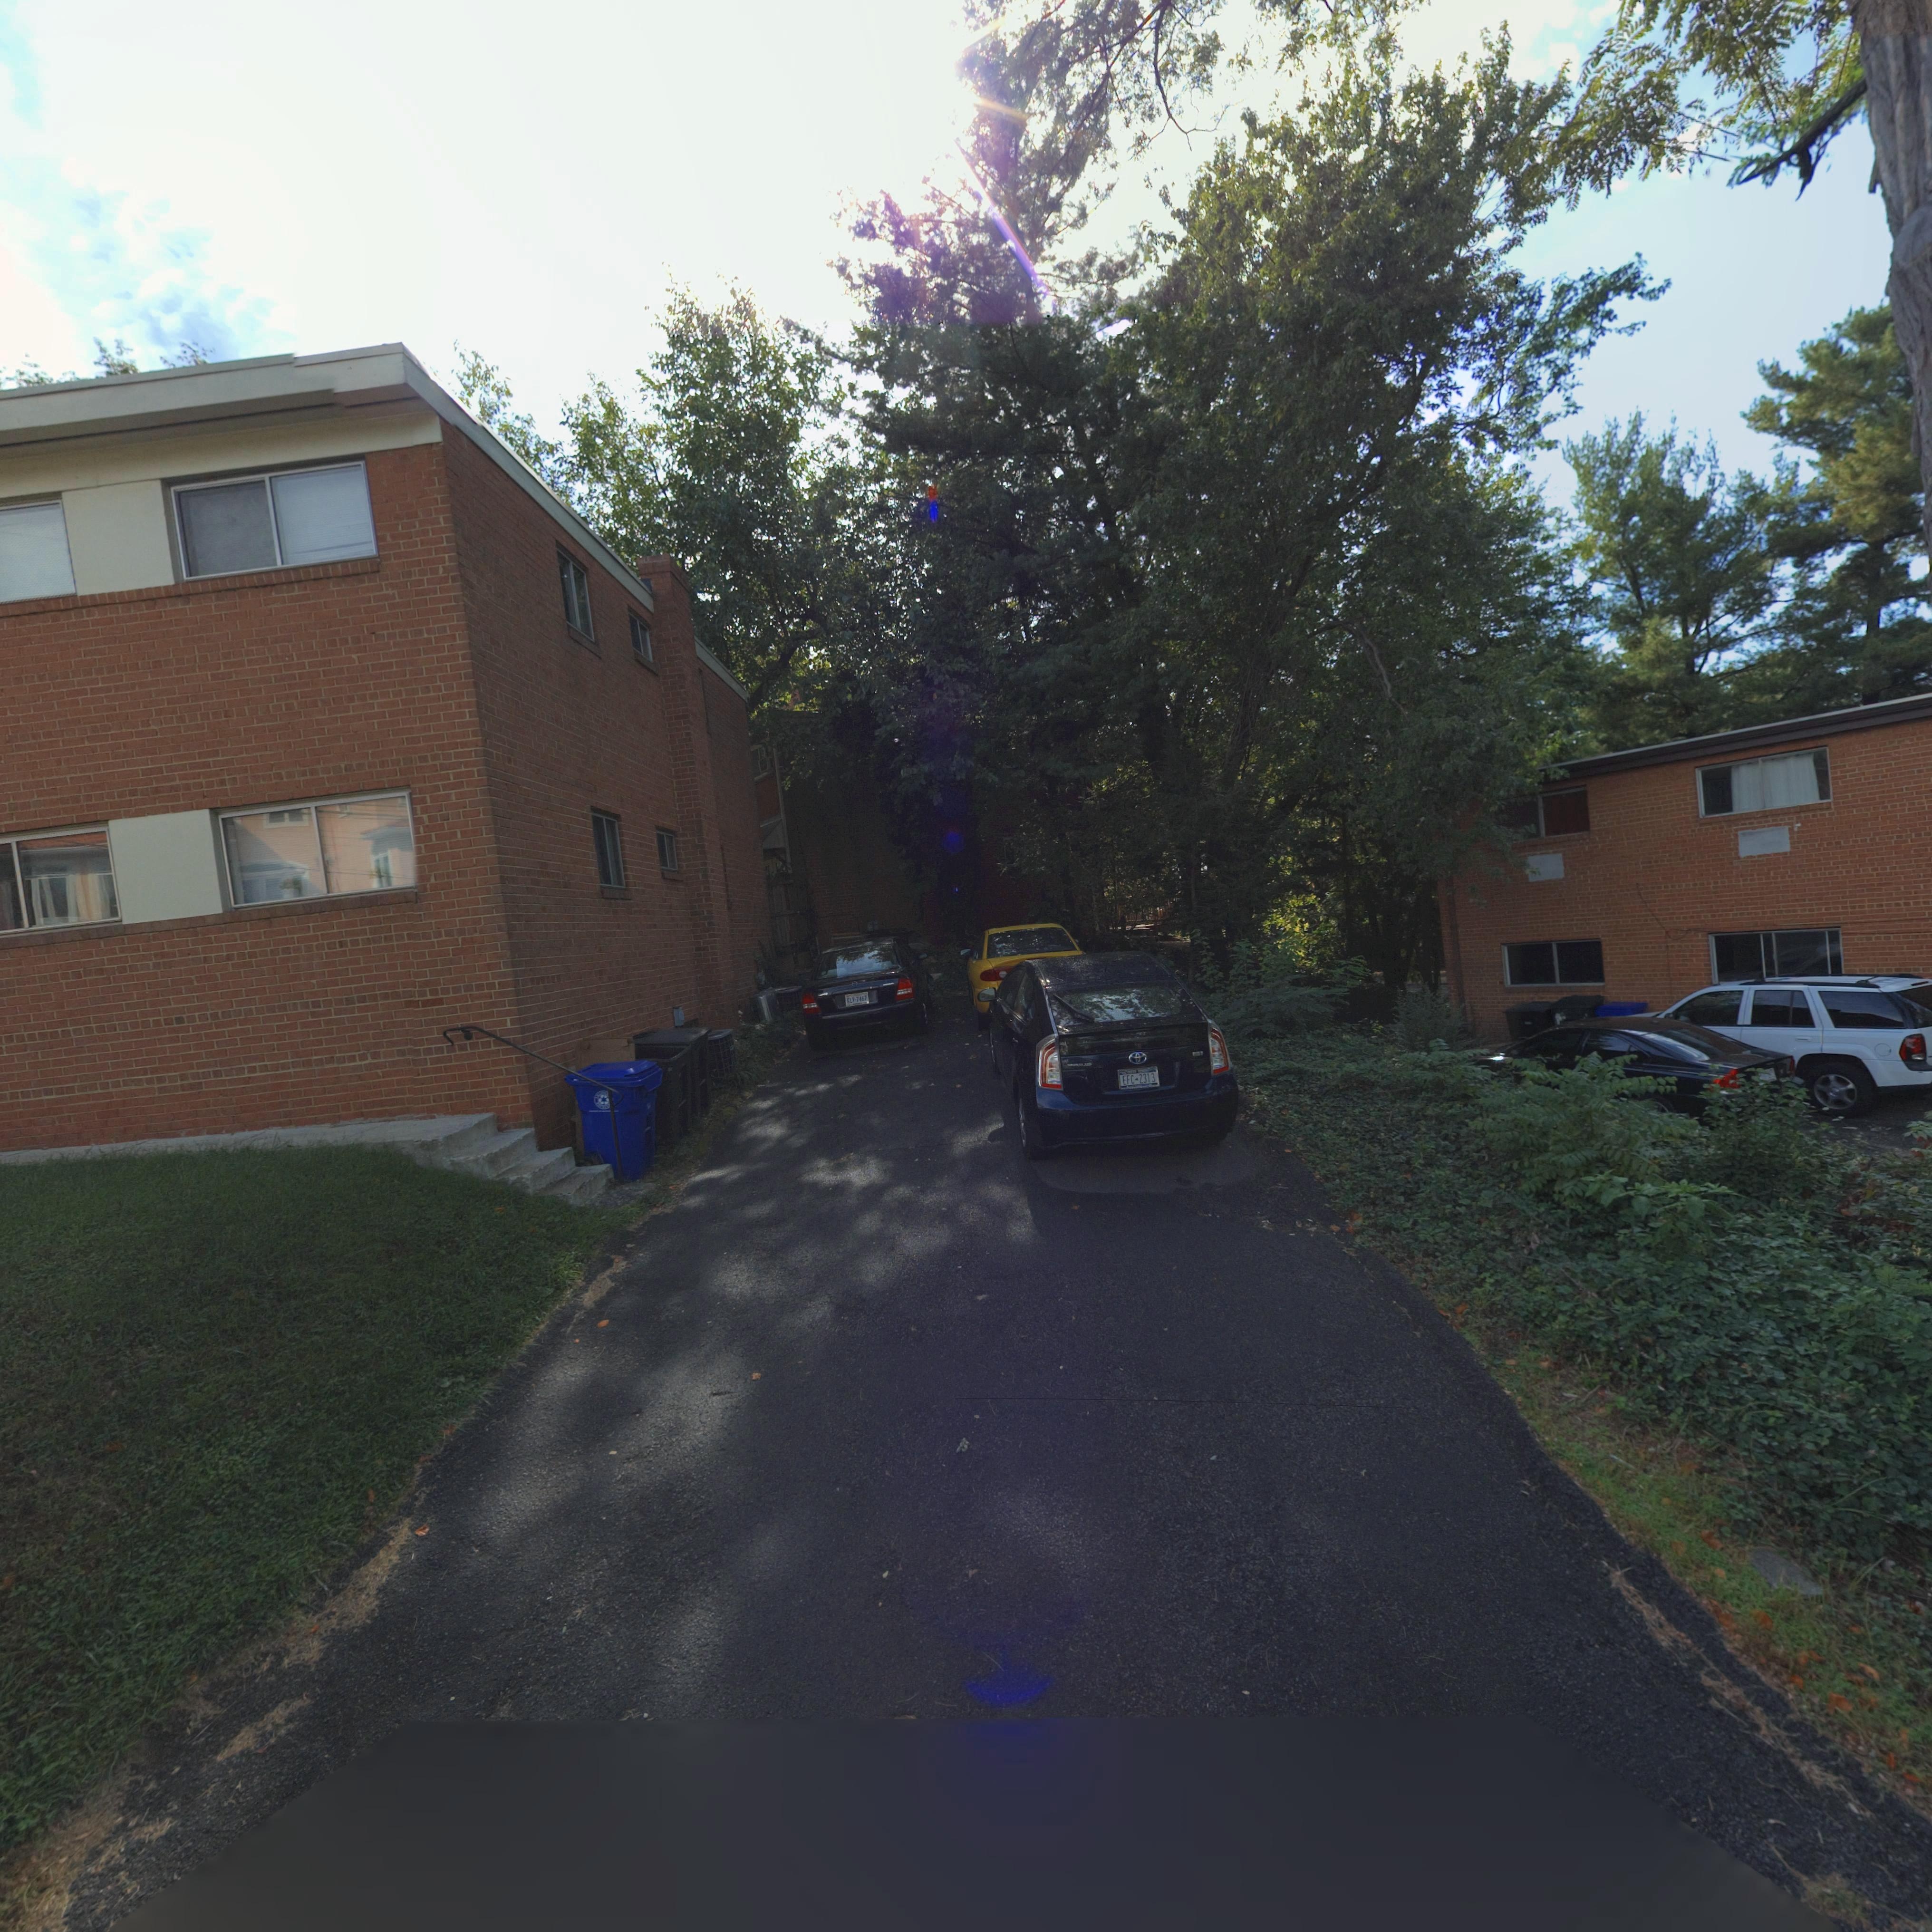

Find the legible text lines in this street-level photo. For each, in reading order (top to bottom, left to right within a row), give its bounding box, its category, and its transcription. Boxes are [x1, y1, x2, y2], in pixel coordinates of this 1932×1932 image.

[846, 994, 868, 1005] None: *LV-7467
[1121, 1072, 1157, 1086] None: EFC-2313